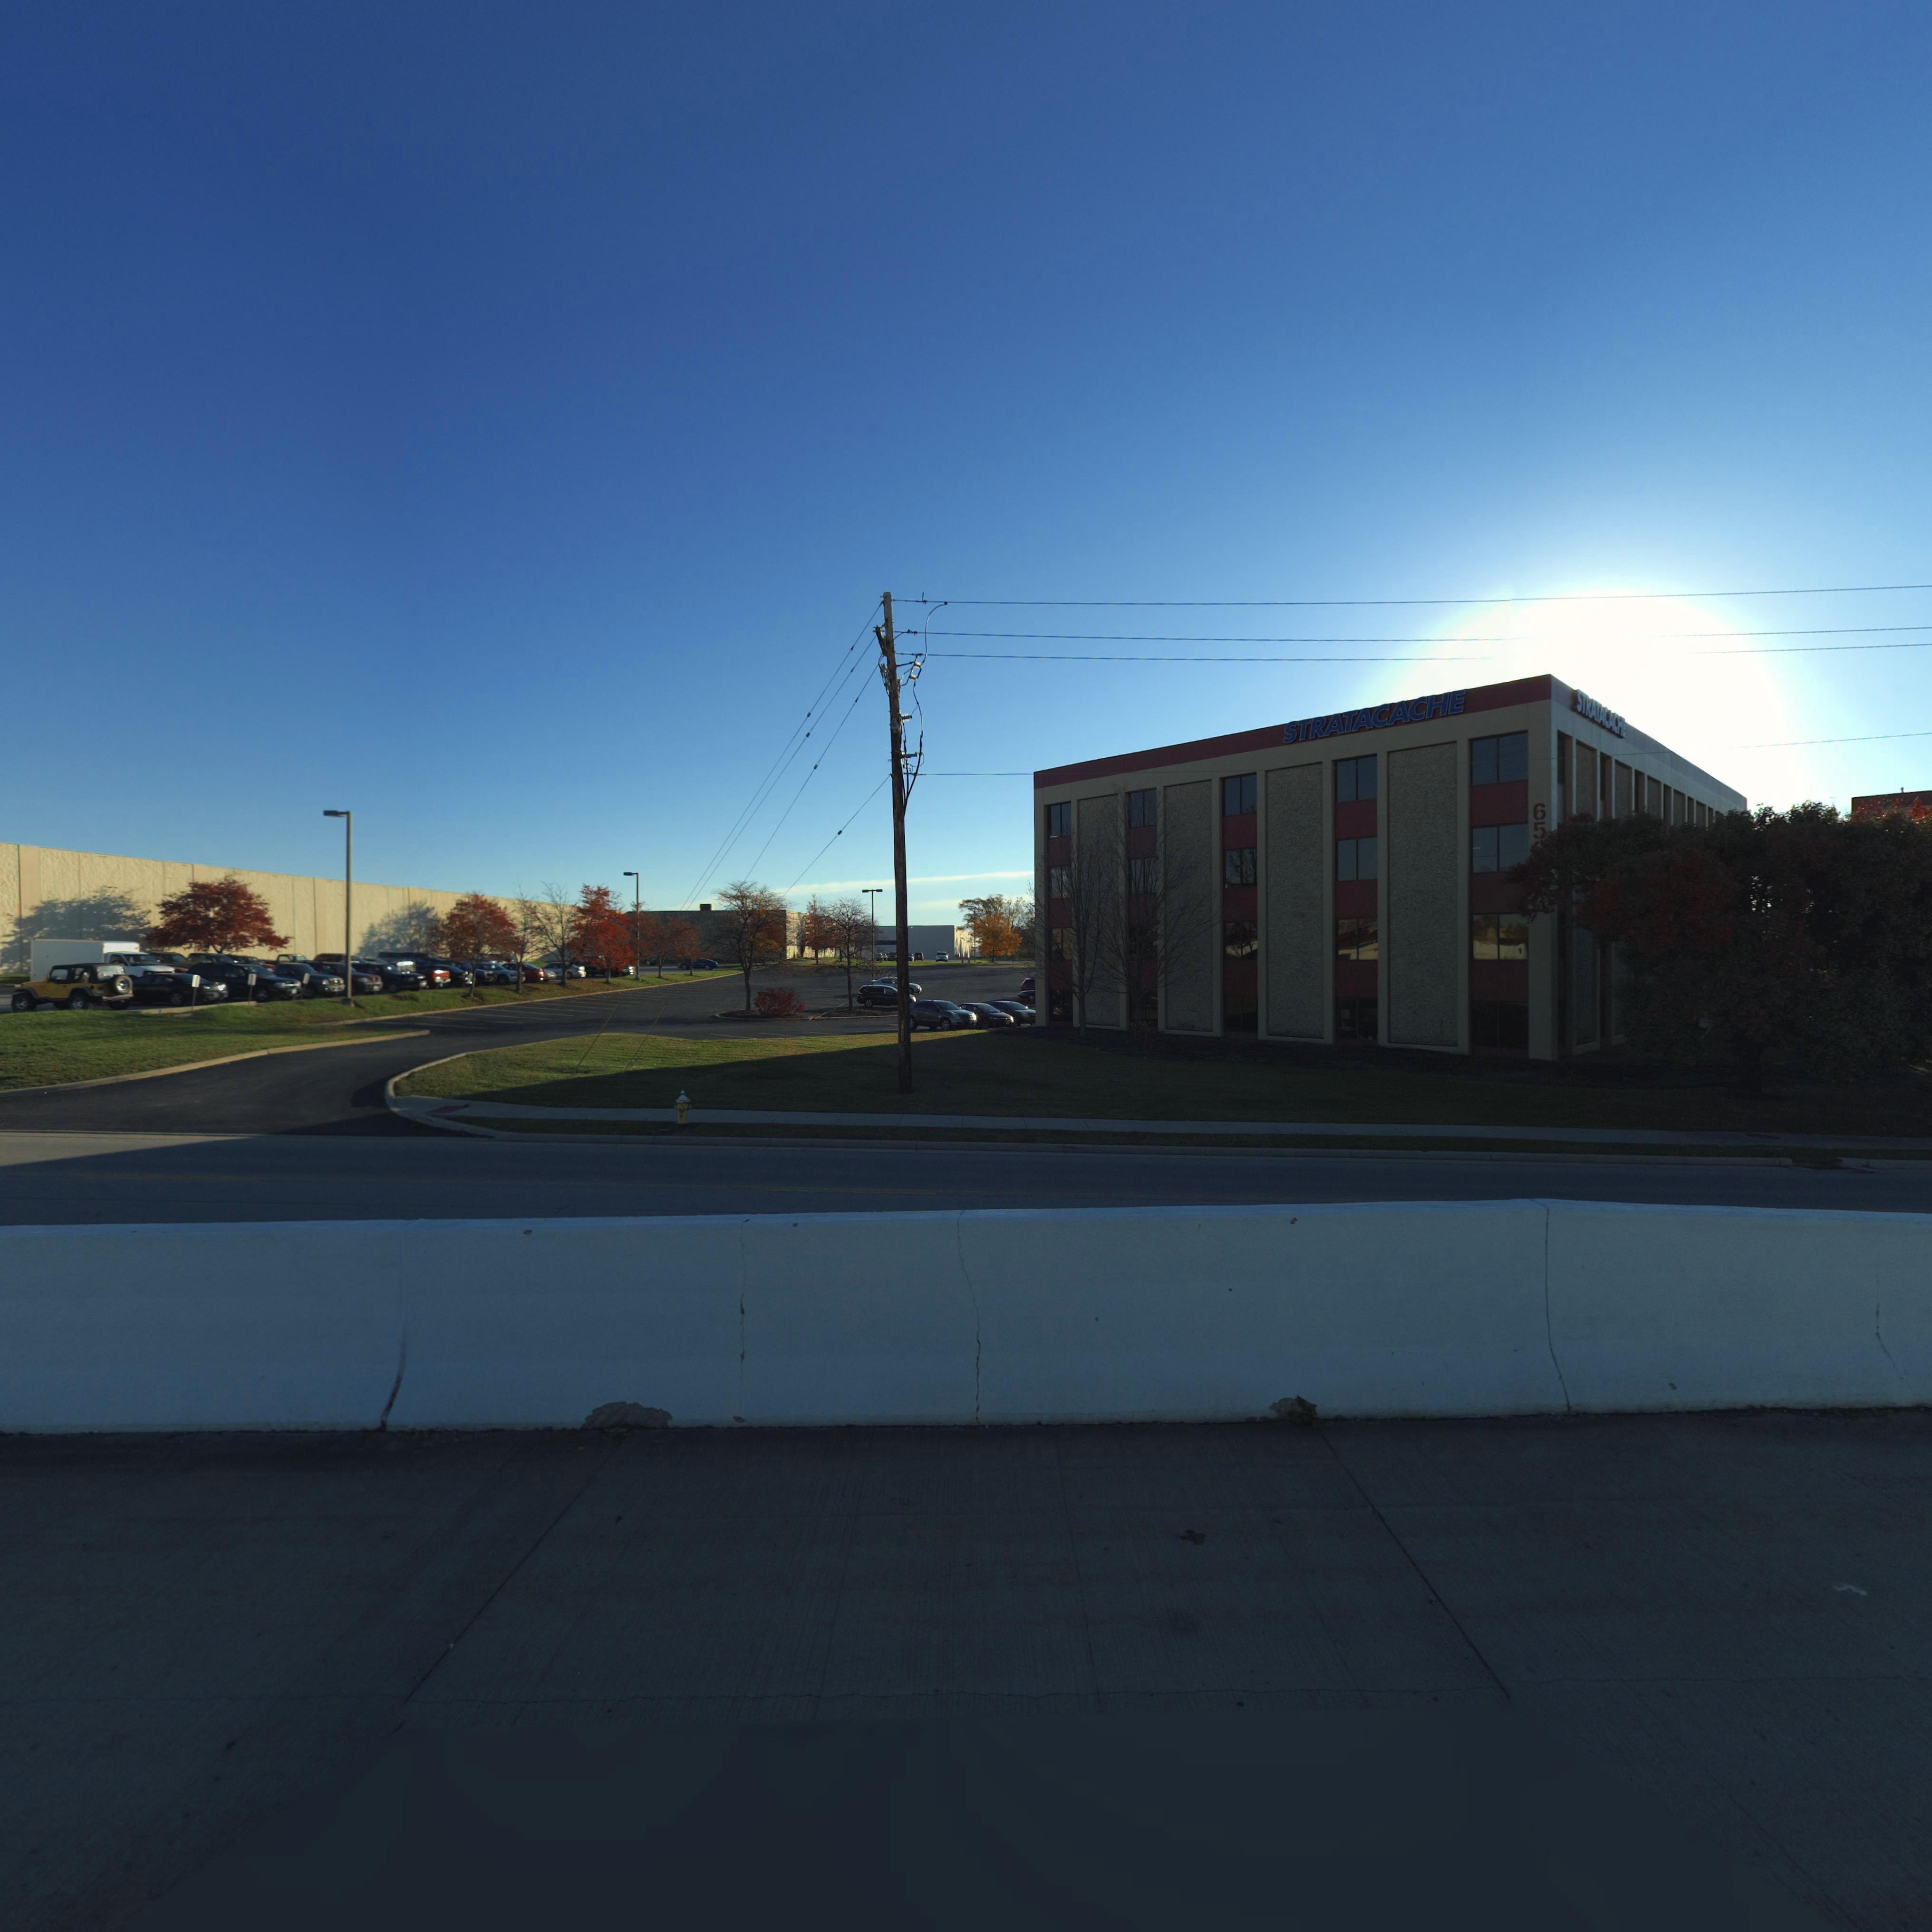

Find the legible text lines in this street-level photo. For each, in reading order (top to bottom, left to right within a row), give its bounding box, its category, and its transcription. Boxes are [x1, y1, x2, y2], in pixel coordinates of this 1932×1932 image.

[1281, 686, 1469, 746] None: STRATACACHE
[1573, 687, 1629, 744] None: STRATACACHE
[1532, 802, 1549, 840] StreetNumber: 65